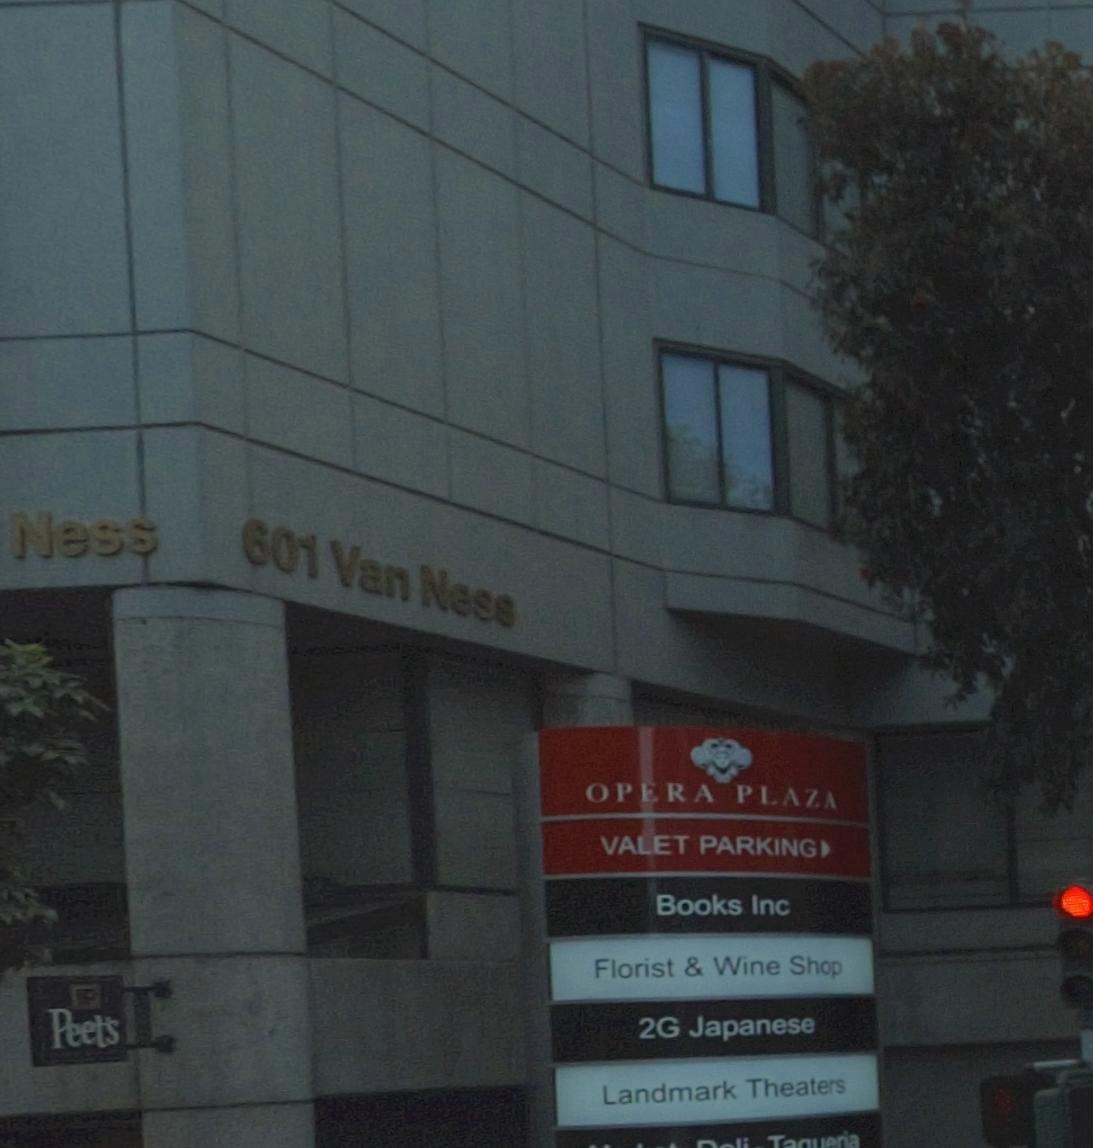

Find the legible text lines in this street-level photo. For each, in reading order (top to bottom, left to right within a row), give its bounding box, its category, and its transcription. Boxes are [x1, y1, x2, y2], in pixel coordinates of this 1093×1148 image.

[5, 503, 169, 569] StreetName: Ness
[238, 508, 323, 586] StreetNumber: 601
[324, 533, 519, 635] StreetName: Van Ness
[581, 777, 842, 812] None: OPERA PLAZA
[592, 830, 821, 861] None: VALET PARKING
[652, 888, 795, 921] BusinessName: Books Inc
[591, 951, 846, 983] BusinessName: Florist & Wine Shop
[42, 1002, 129, 1055] BusinessName: Peet's
[633, 1009, 820, 1046] BusinessName: 2G Japanese
[598, 1074, 850, 1109] BusinessName: Landmark Theaters